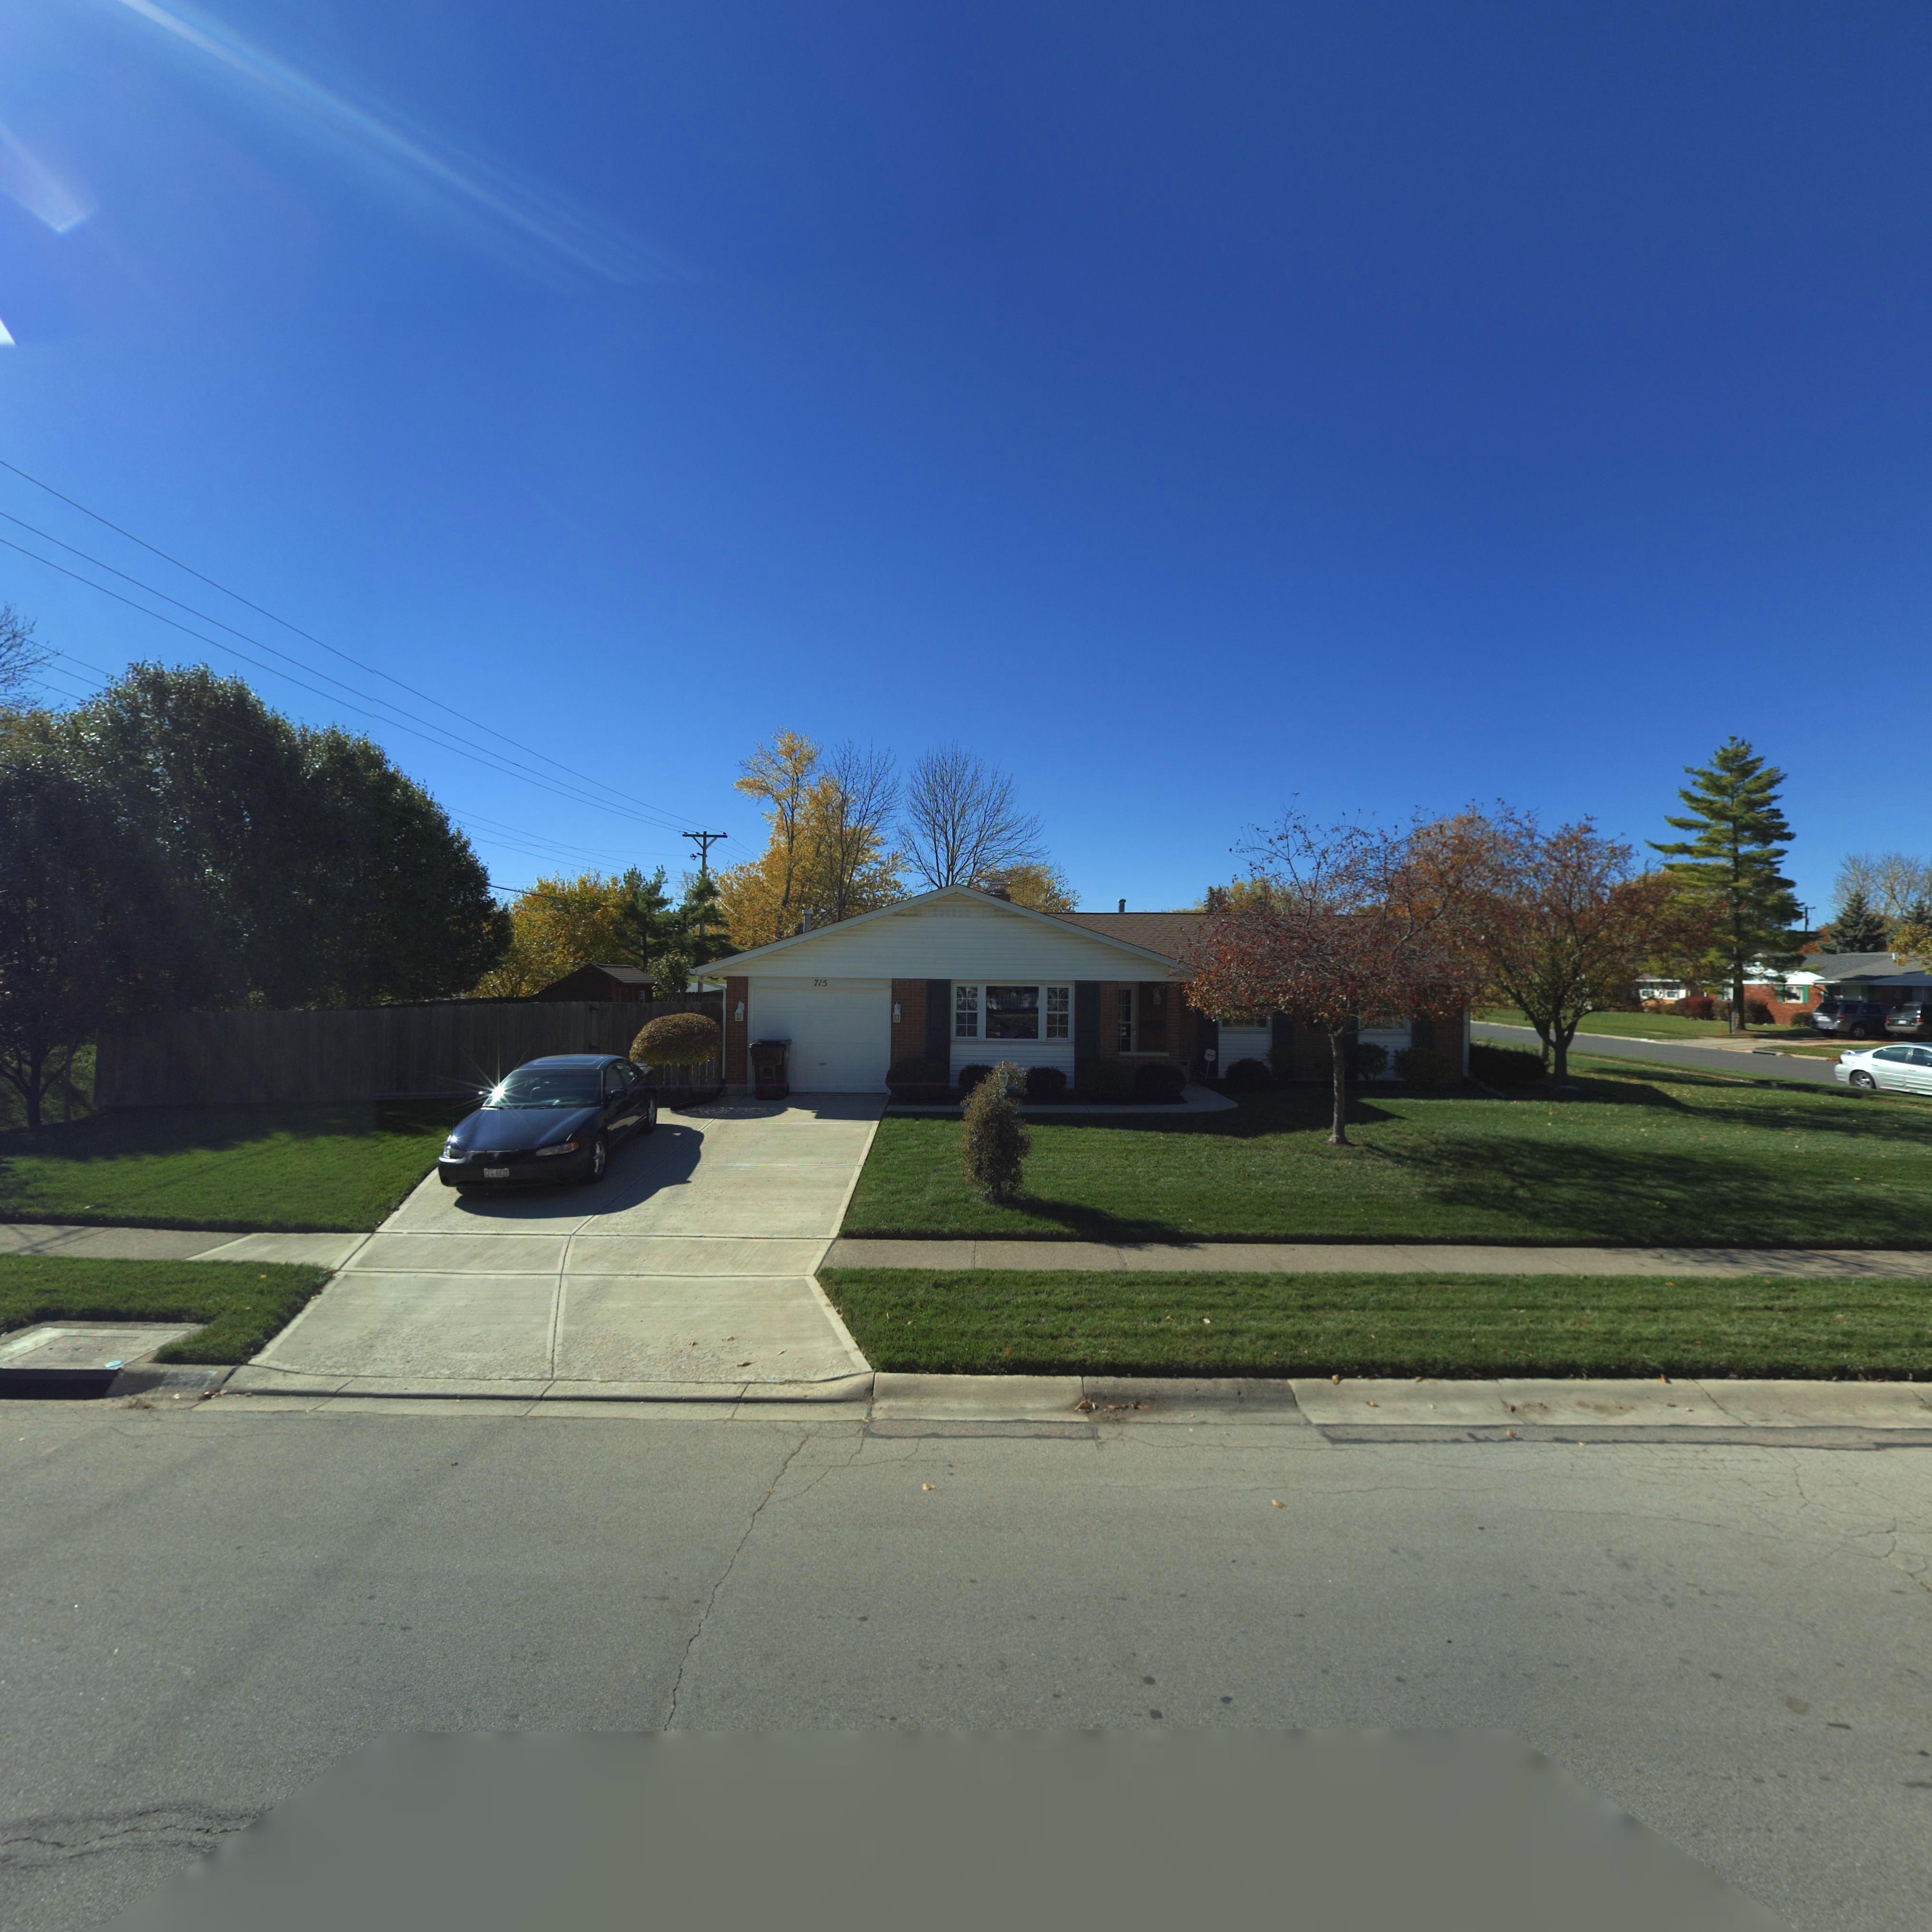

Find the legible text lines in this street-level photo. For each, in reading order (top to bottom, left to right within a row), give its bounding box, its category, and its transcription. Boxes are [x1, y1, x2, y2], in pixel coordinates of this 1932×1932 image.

[812, 978, 829, 988] StreetNumber: 715
[484, 1169, 508, 1177] None: CFG*4839